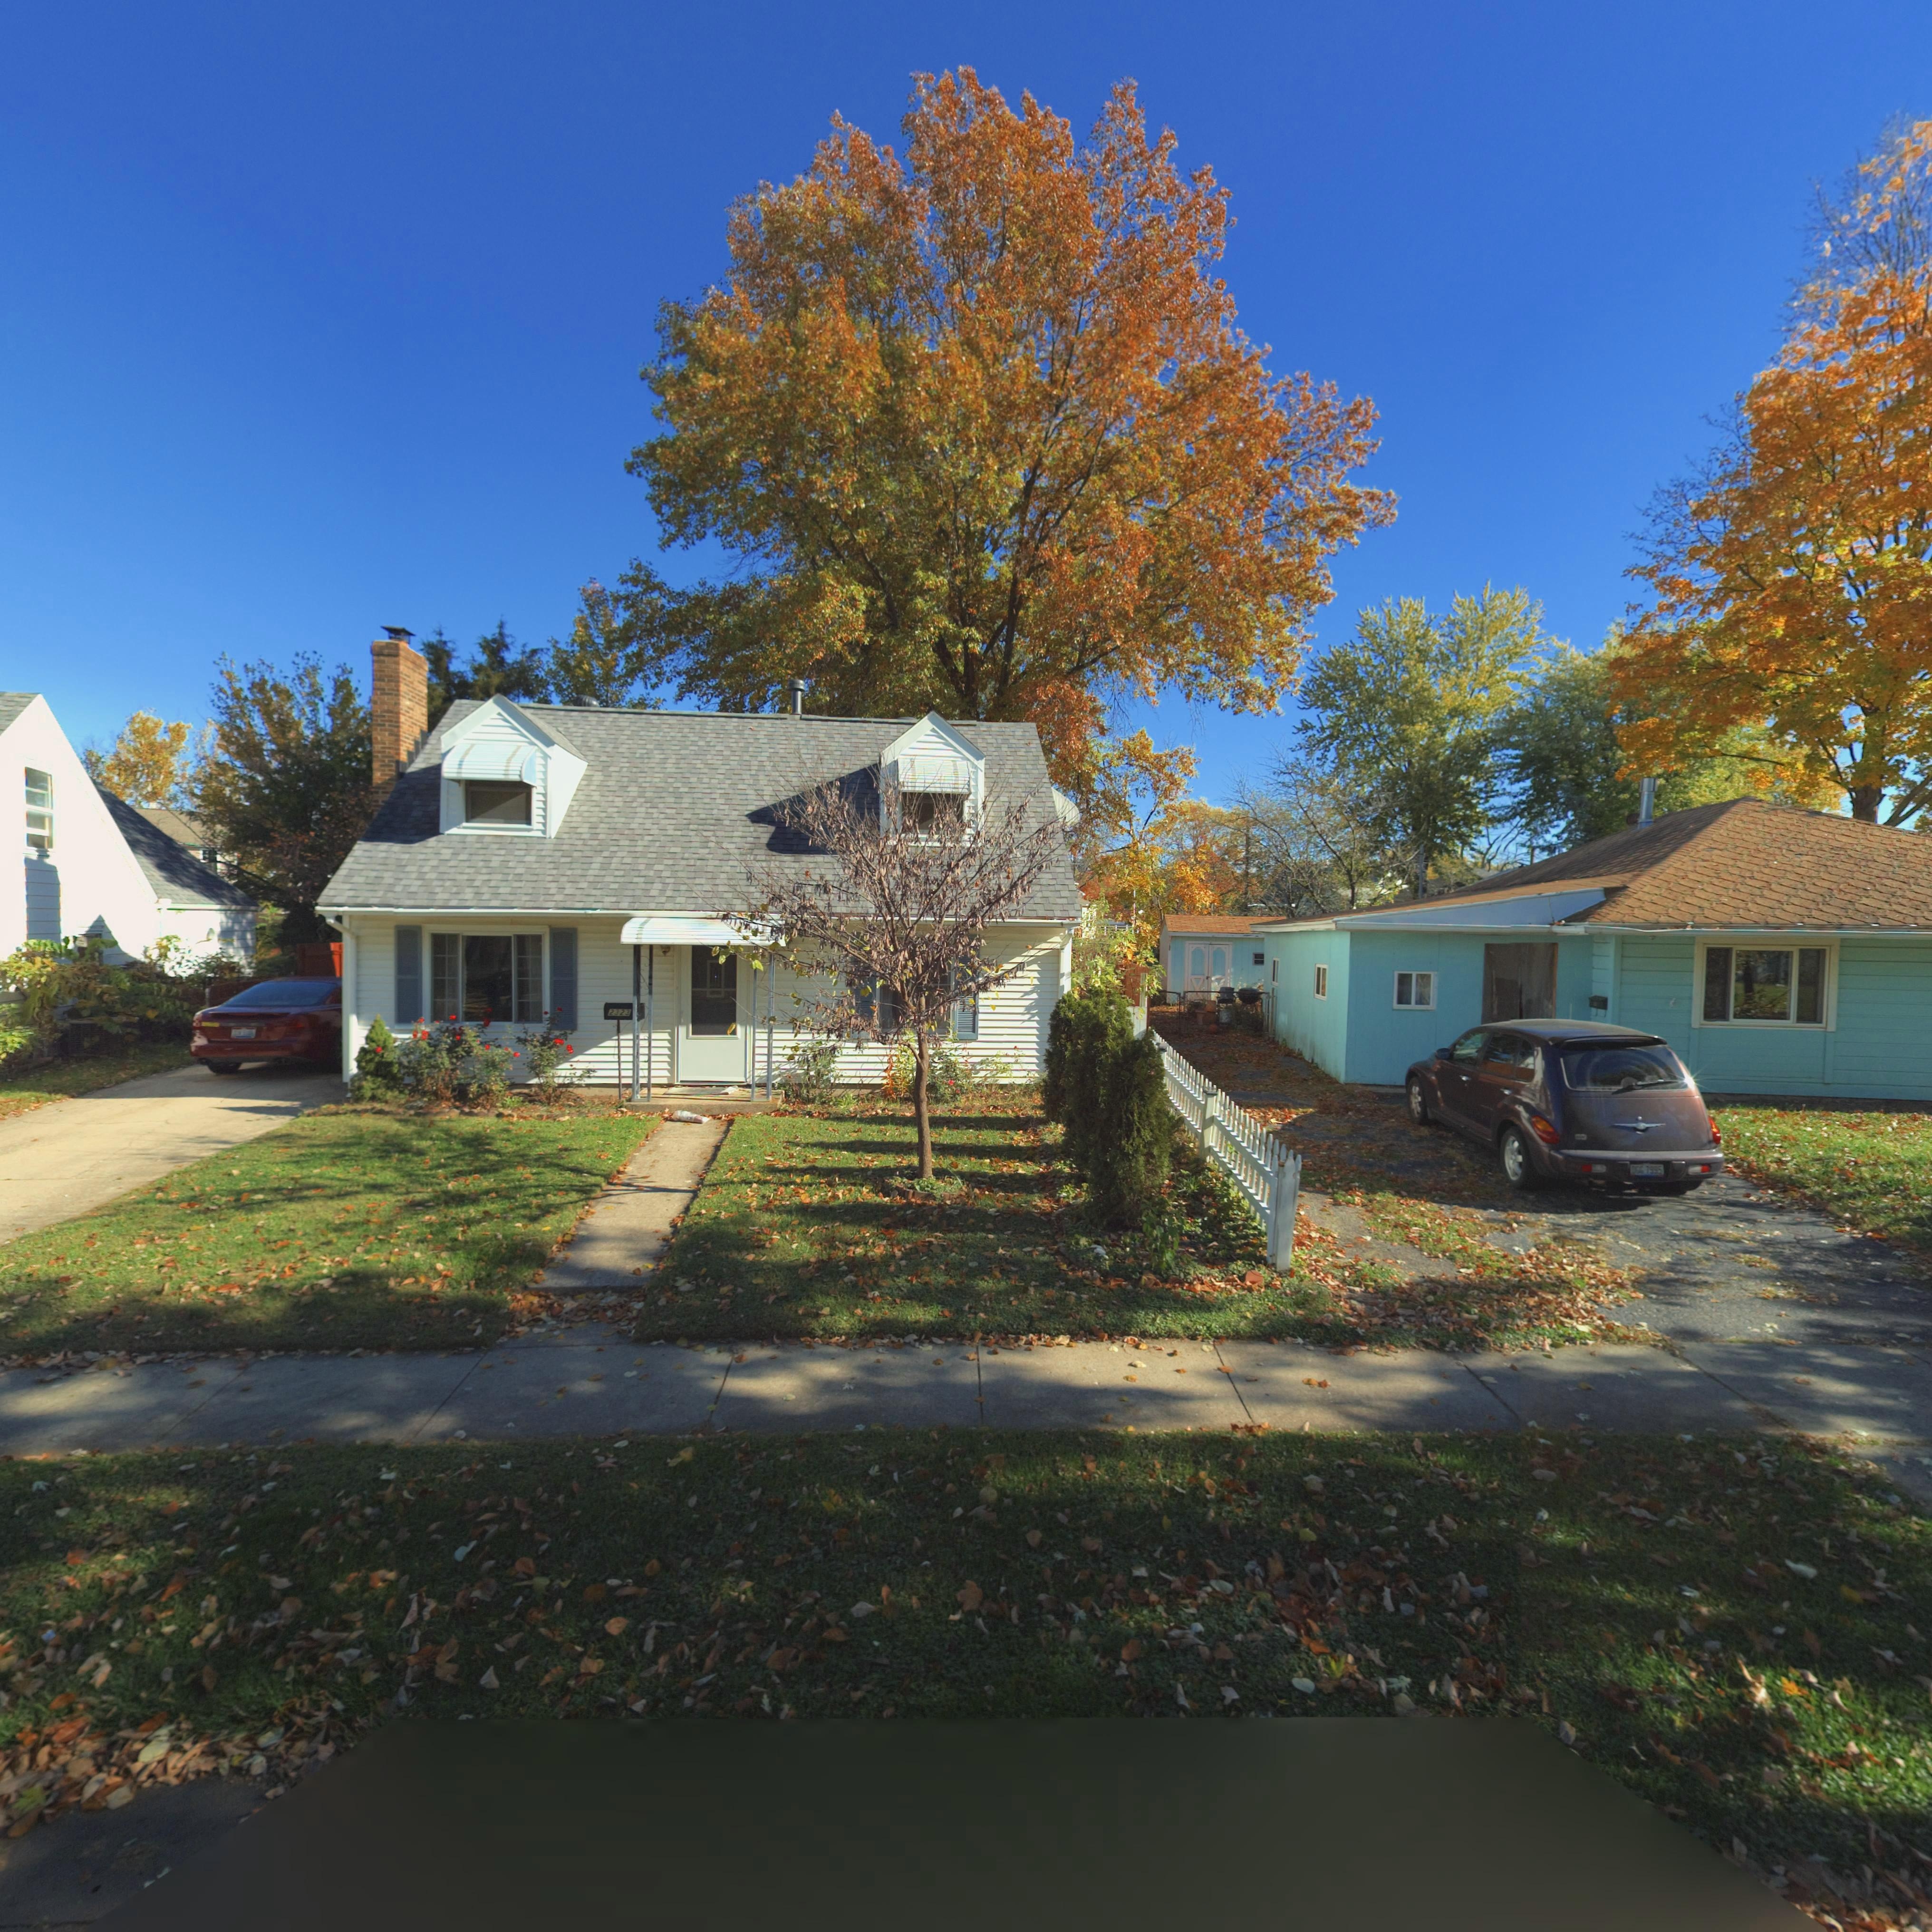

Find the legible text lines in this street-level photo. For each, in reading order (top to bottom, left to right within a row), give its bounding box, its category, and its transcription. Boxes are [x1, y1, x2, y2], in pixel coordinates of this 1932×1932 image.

[608, 1008, 631, 1016] StreetNumber: 2323